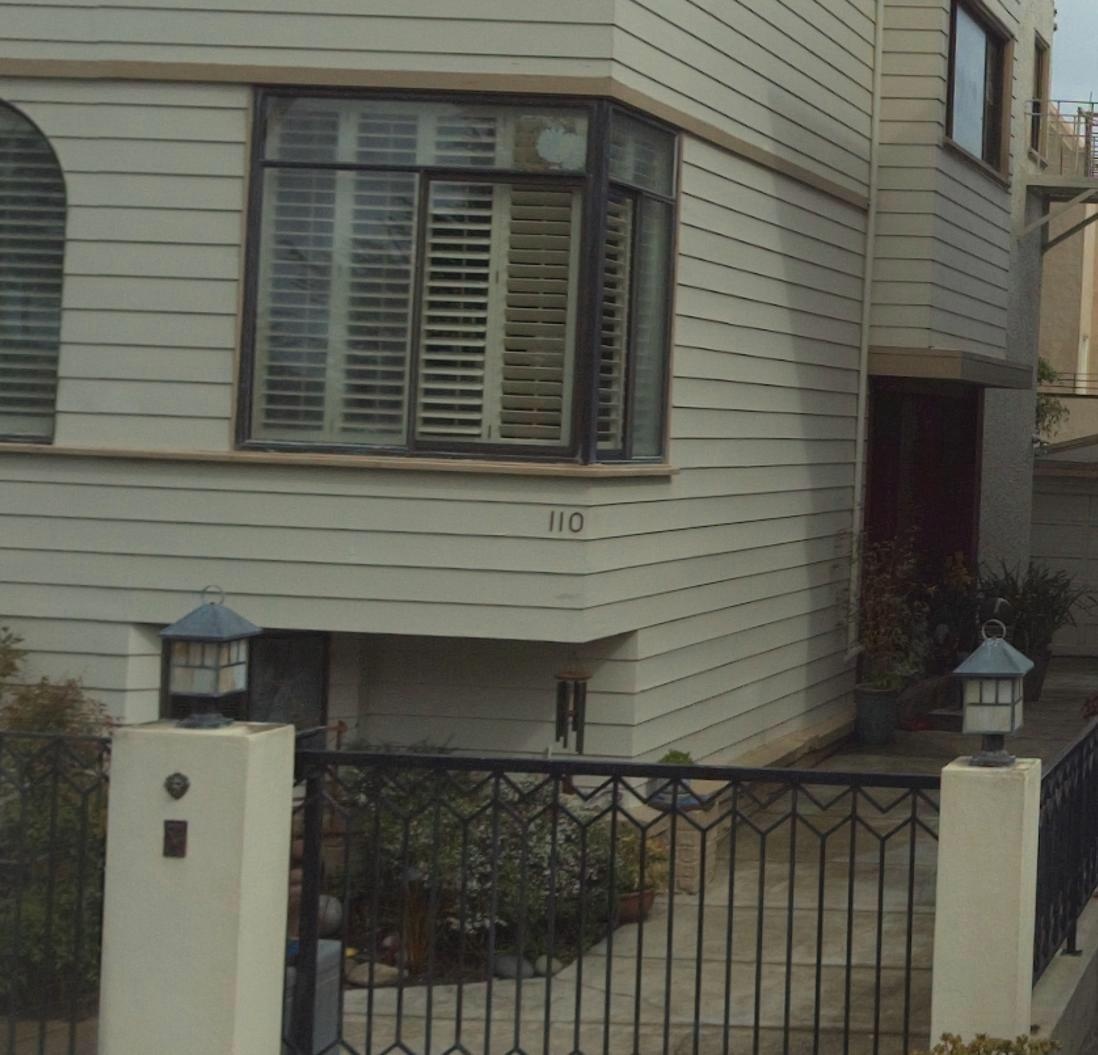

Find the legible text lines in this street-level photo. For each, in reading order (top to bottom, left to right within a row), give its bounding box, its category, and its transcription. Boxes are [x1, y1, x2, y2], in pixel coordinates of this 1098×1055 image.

[548, 509, 584, 533] StreetNumber: 110